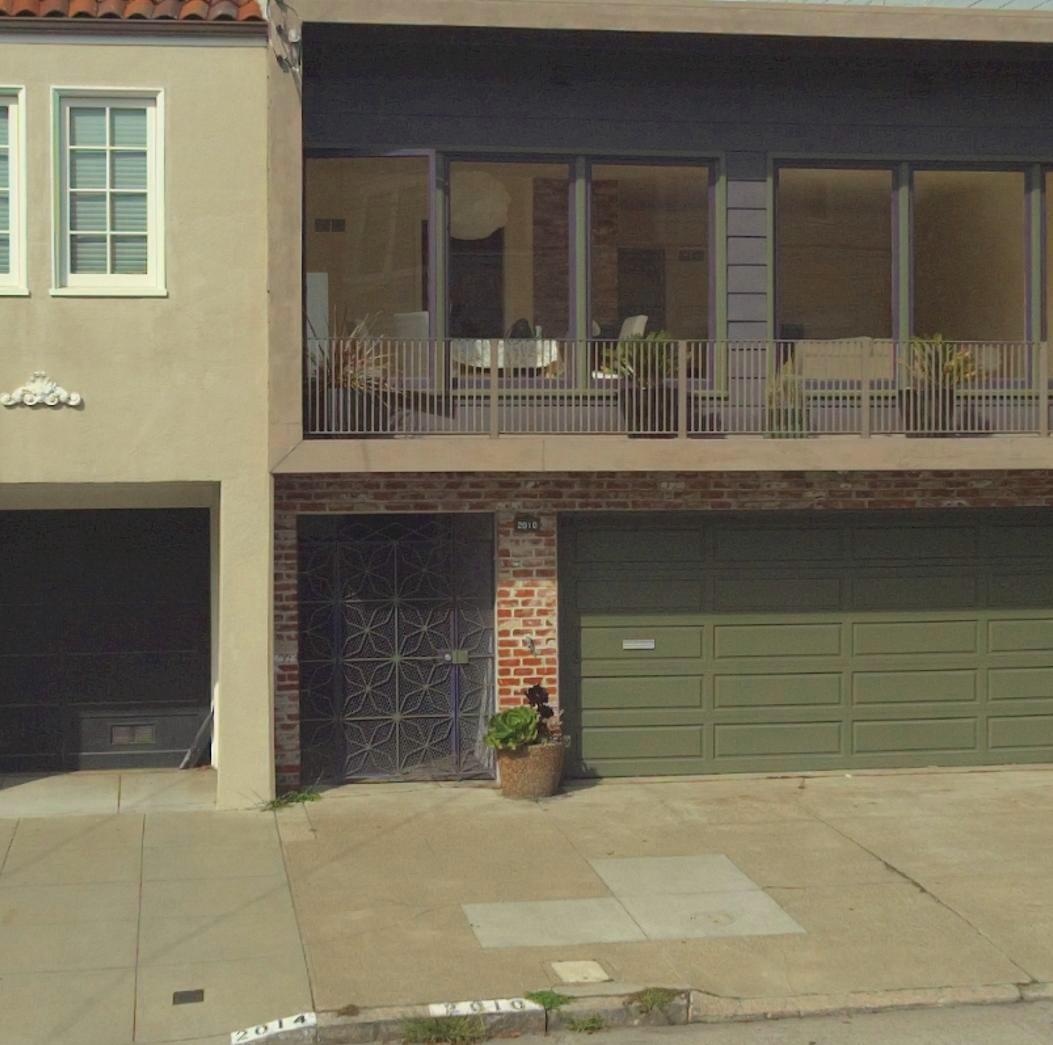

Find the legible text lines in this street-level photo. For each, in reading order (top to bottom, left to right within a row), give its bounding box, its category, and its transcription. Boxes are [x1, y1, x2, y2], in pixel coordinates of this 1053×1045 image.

[516, 519, 540, 531] StreetNumber: 2010
[442, 997, 528, 1018] StreetNumber: 2010
[232, 1012, 309, 1044] StreetNumber: 2014